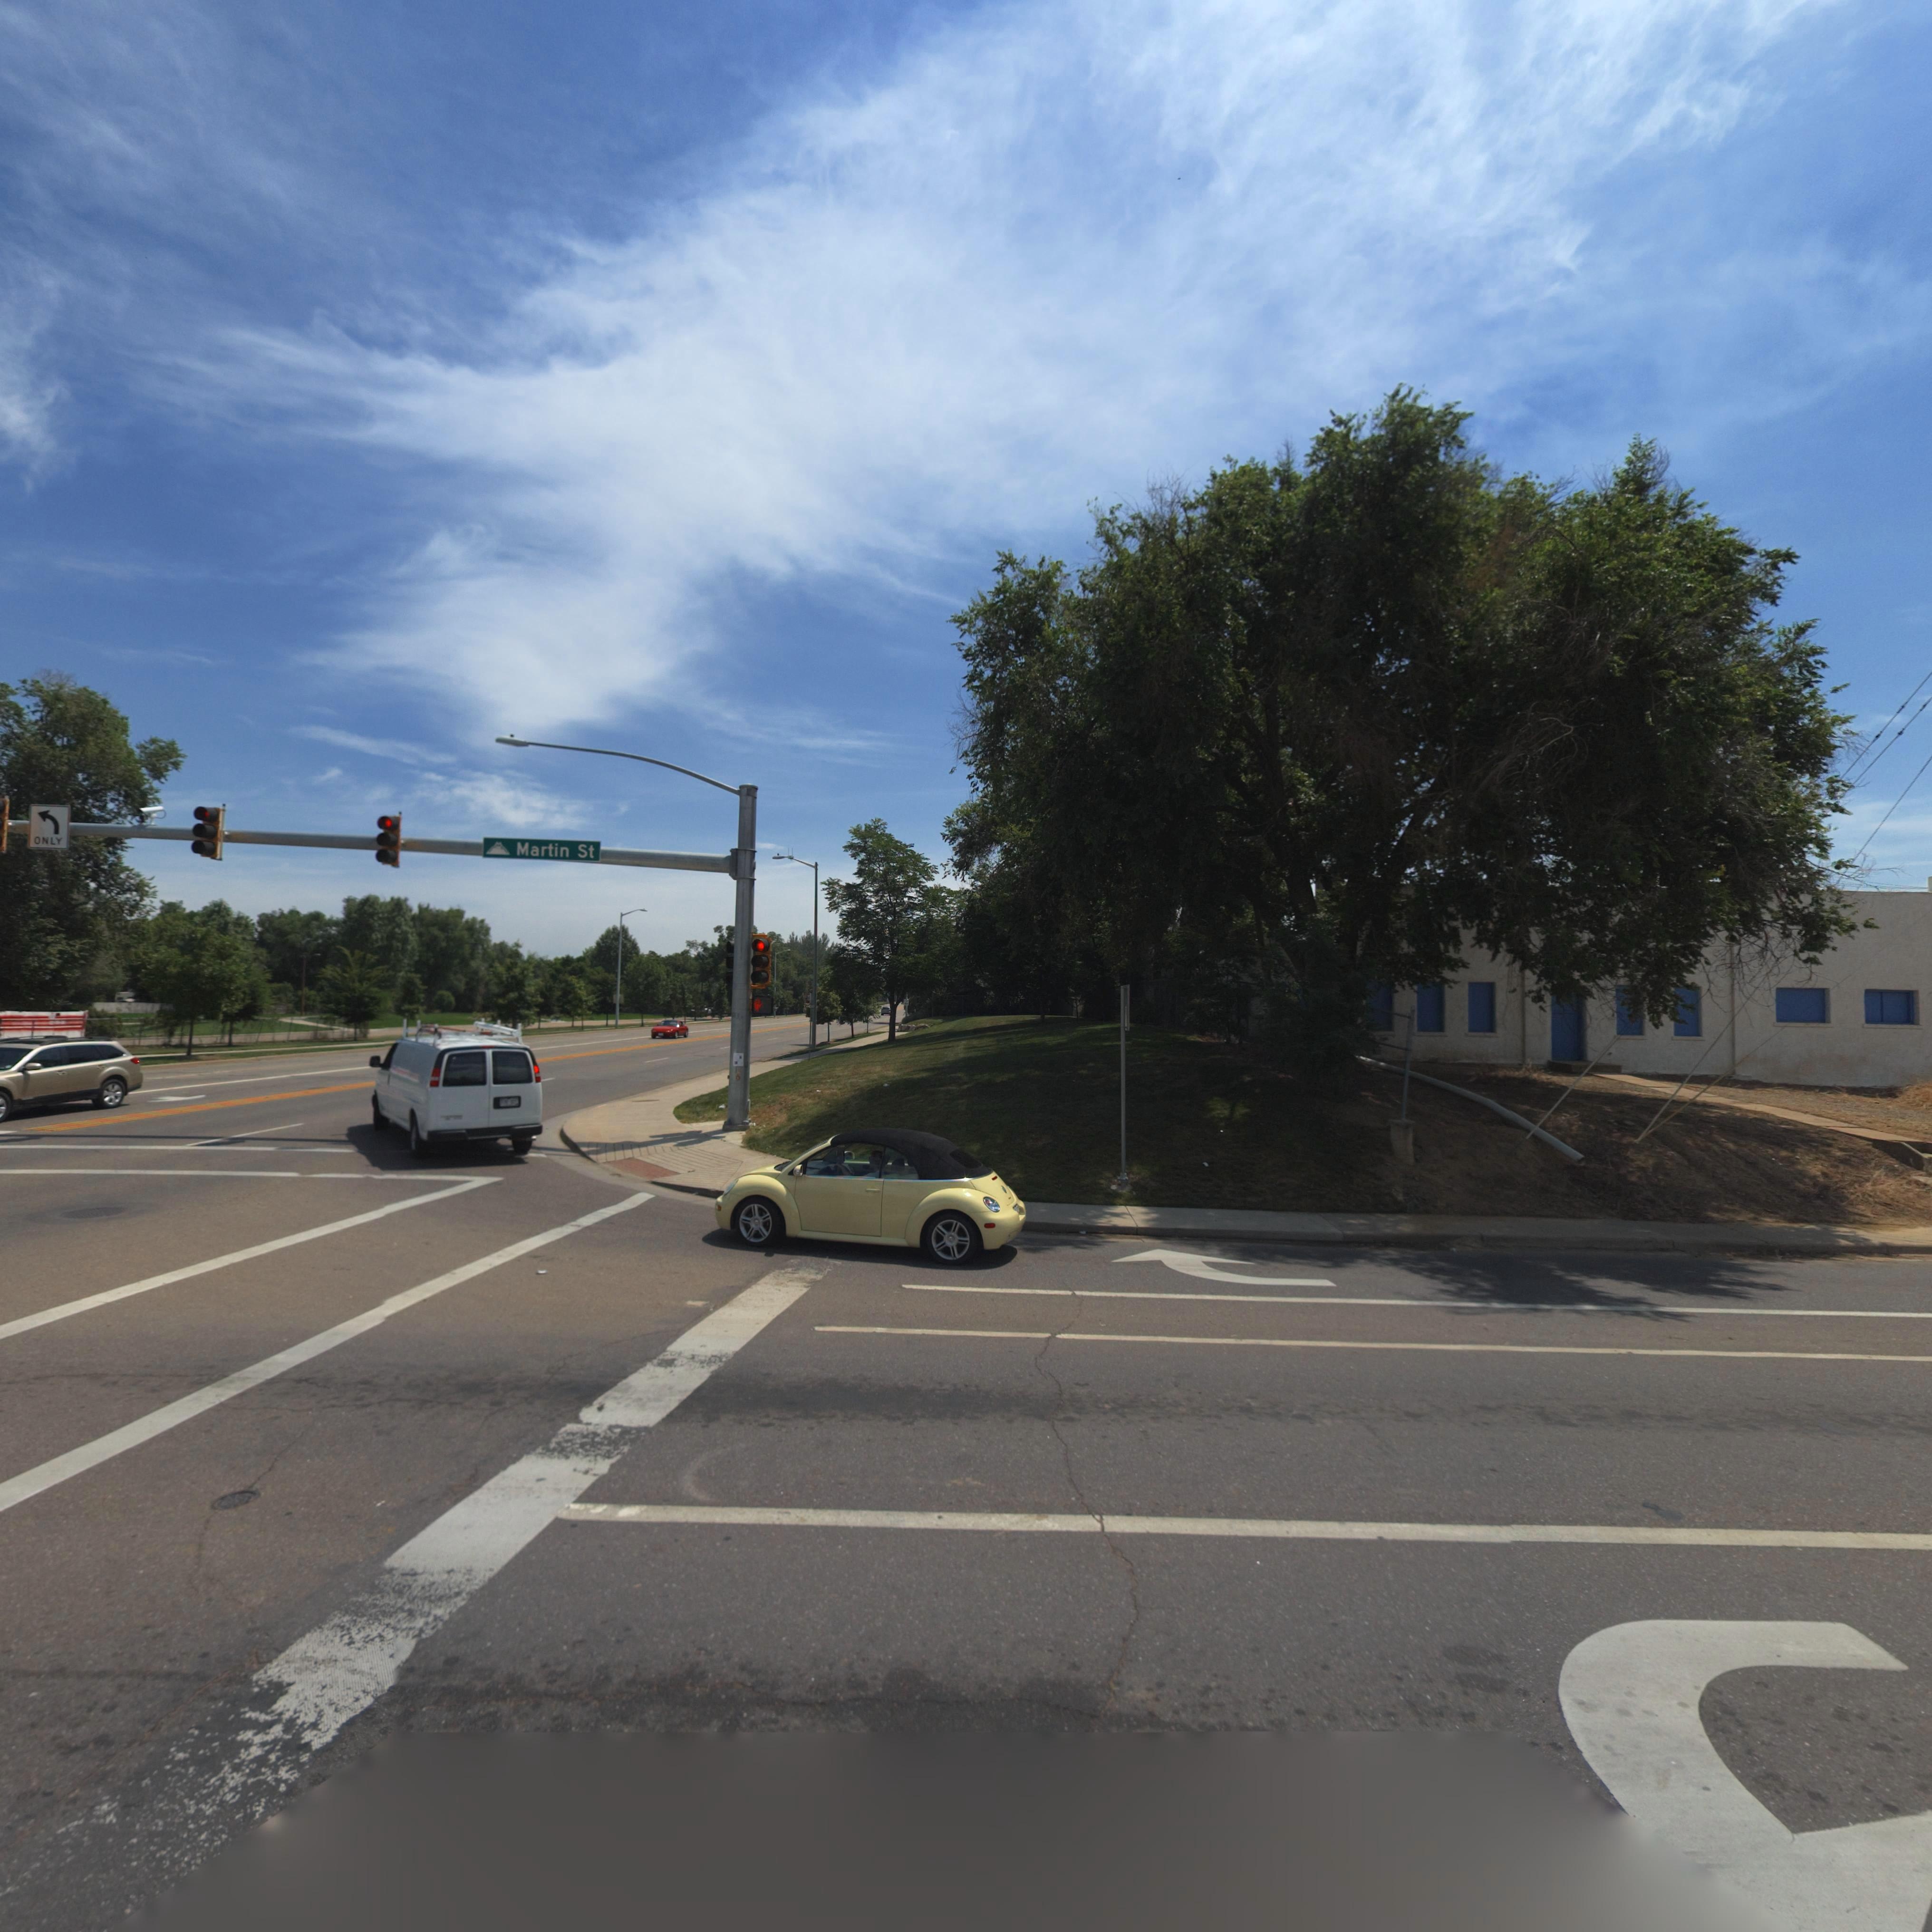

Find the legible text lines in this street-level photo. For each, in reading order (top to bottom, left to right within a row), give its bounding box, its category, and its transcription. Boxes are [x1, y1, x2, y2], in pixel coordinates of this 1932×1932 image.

[516, 841, 595, 859] StreetName: Martin St